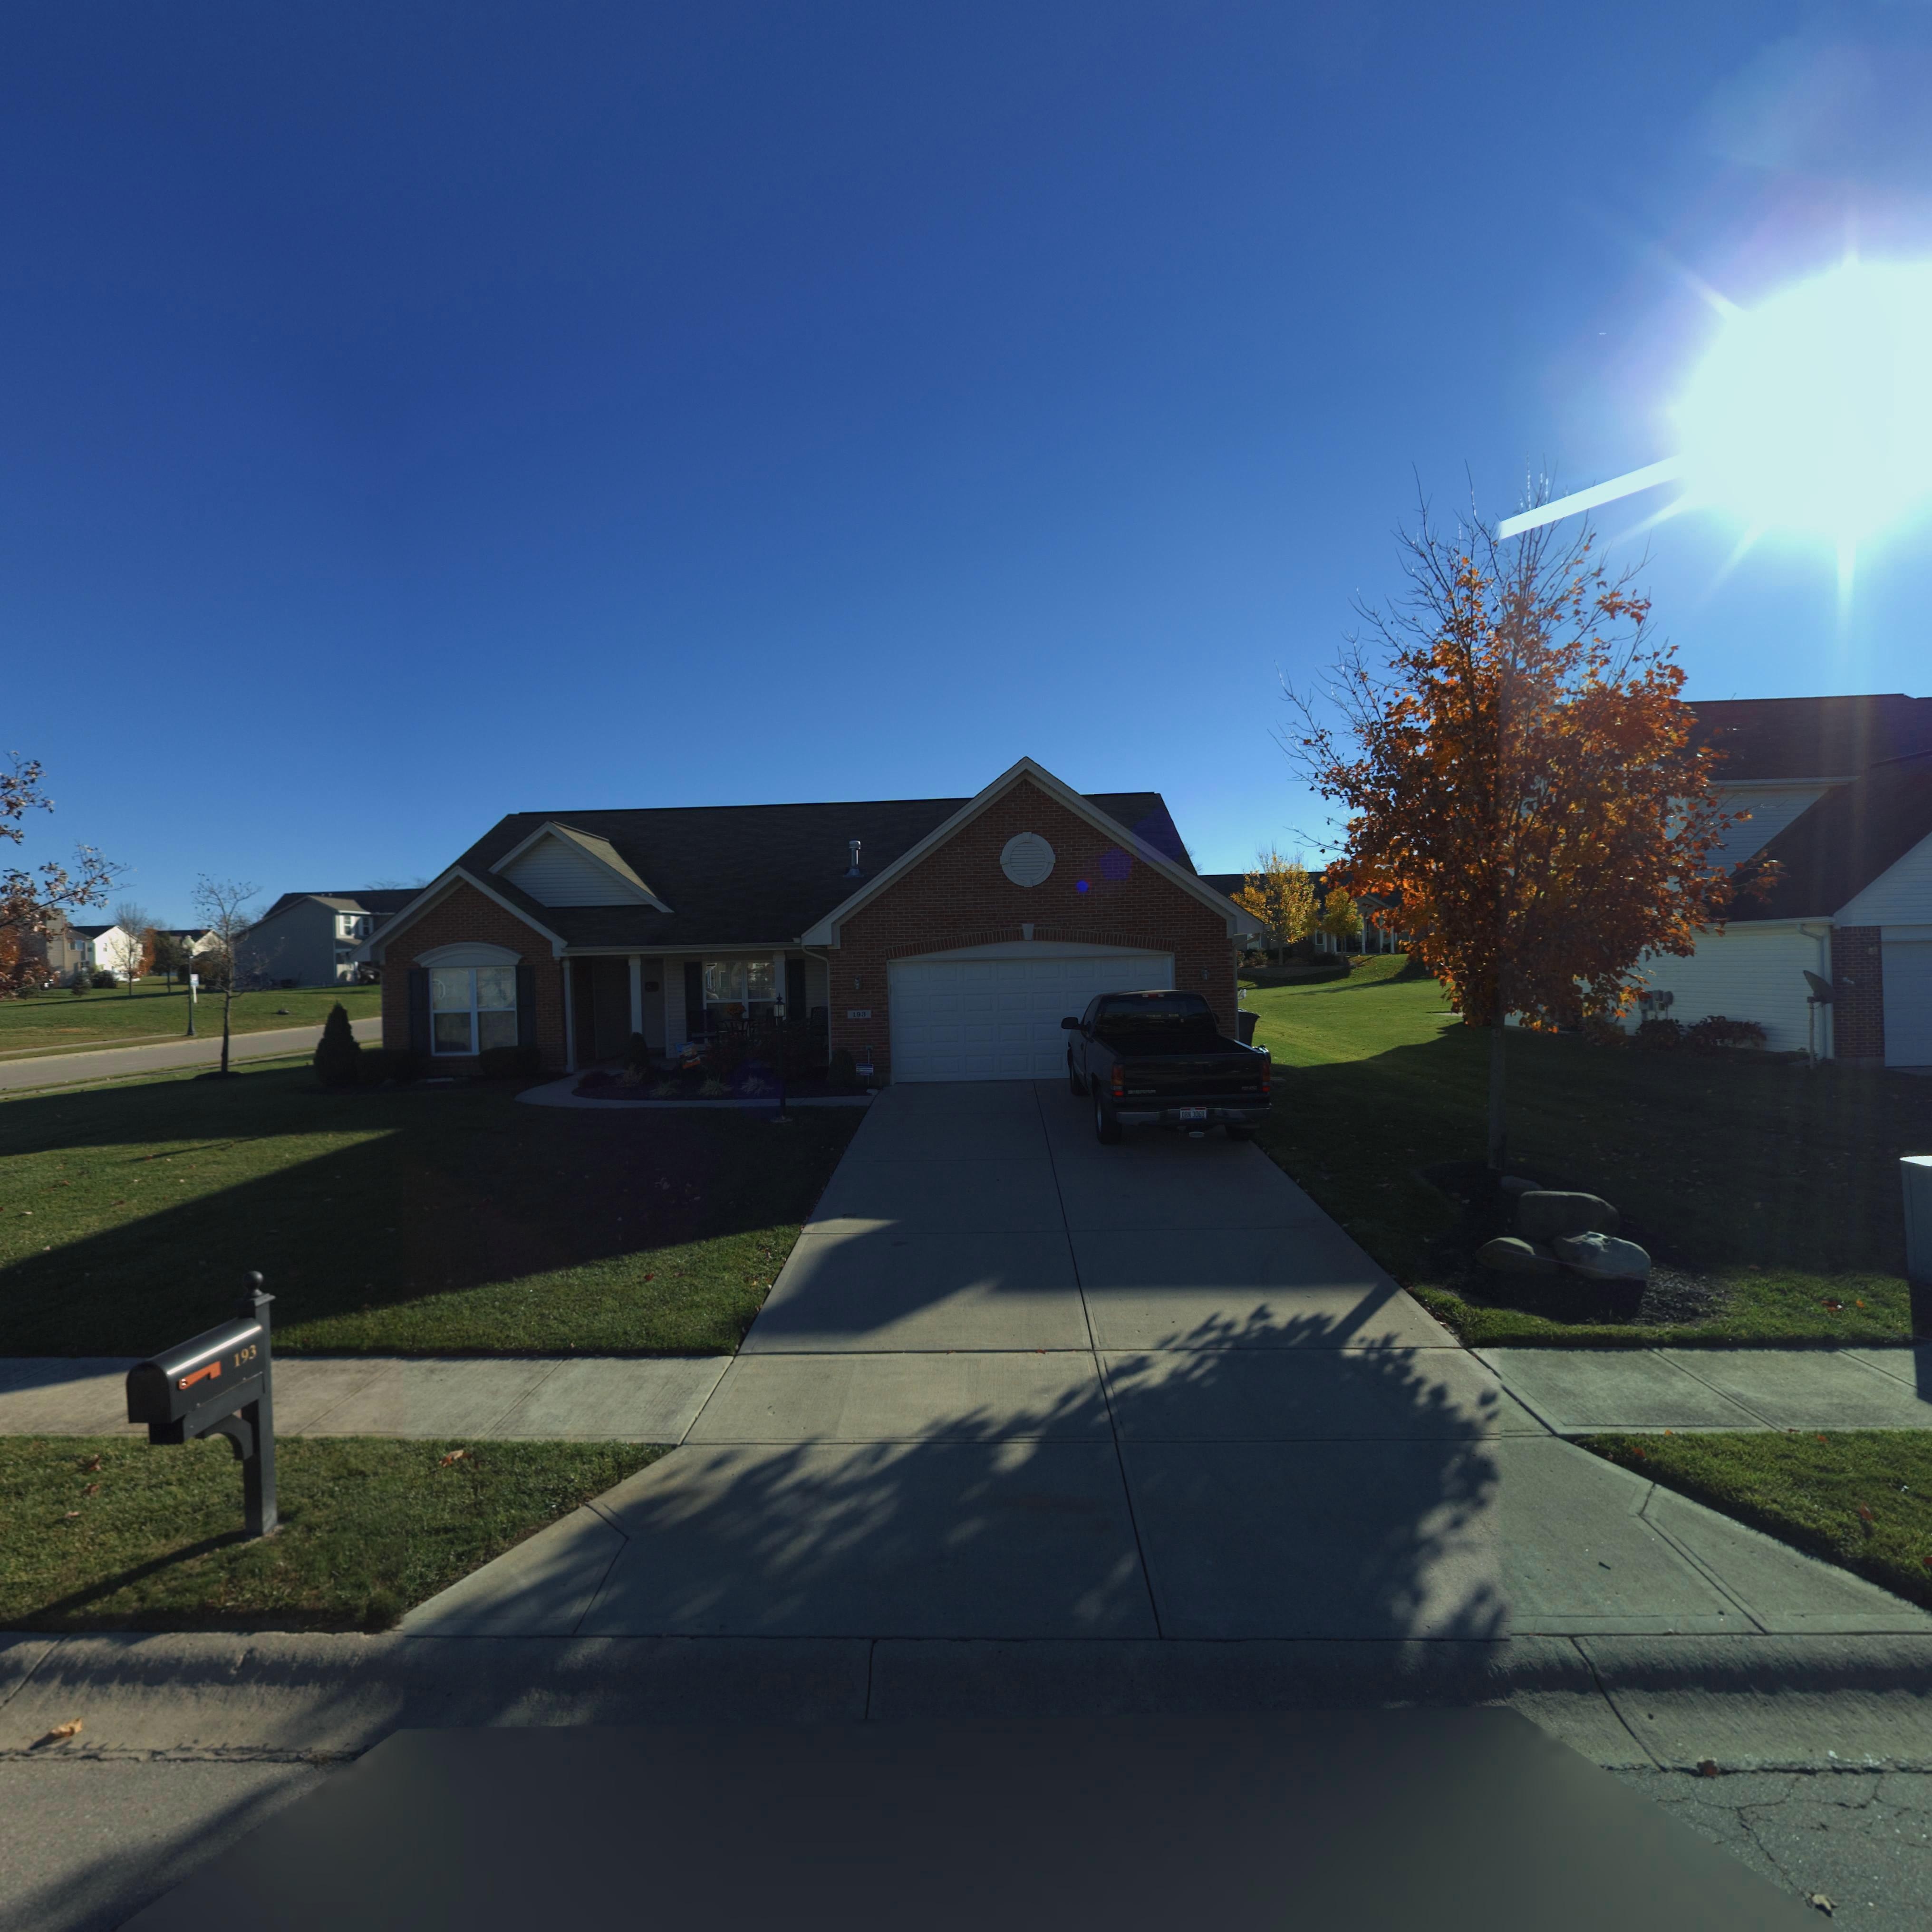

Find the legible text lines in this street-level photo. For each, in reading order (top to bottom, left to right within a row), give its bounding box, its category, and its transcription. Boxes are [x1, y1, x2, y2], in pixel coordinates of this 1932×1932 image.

[851, 1011, 867, 1018] StreetNumber: 193
[1181, 1110, 1205, 1118] None: *** 3068
[232, 1342, 258, 1370] StreetNumber: 193